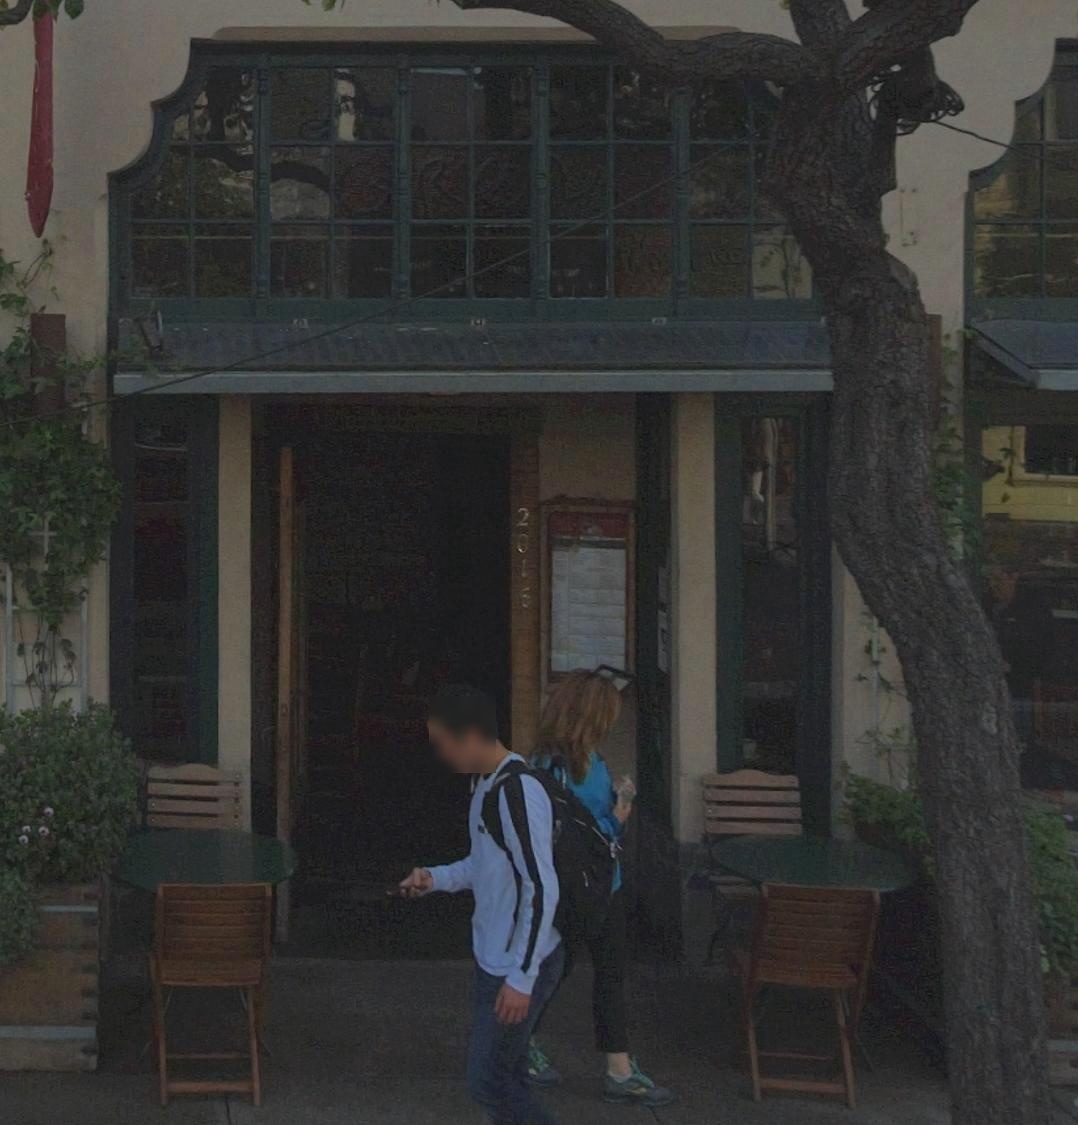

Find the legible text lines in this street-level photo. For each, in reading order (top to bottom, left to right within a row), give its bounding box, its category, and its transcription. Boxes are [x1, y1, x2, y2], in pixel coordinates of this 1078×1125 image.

[513, 505, 534, 612] StreetNumber: 2015